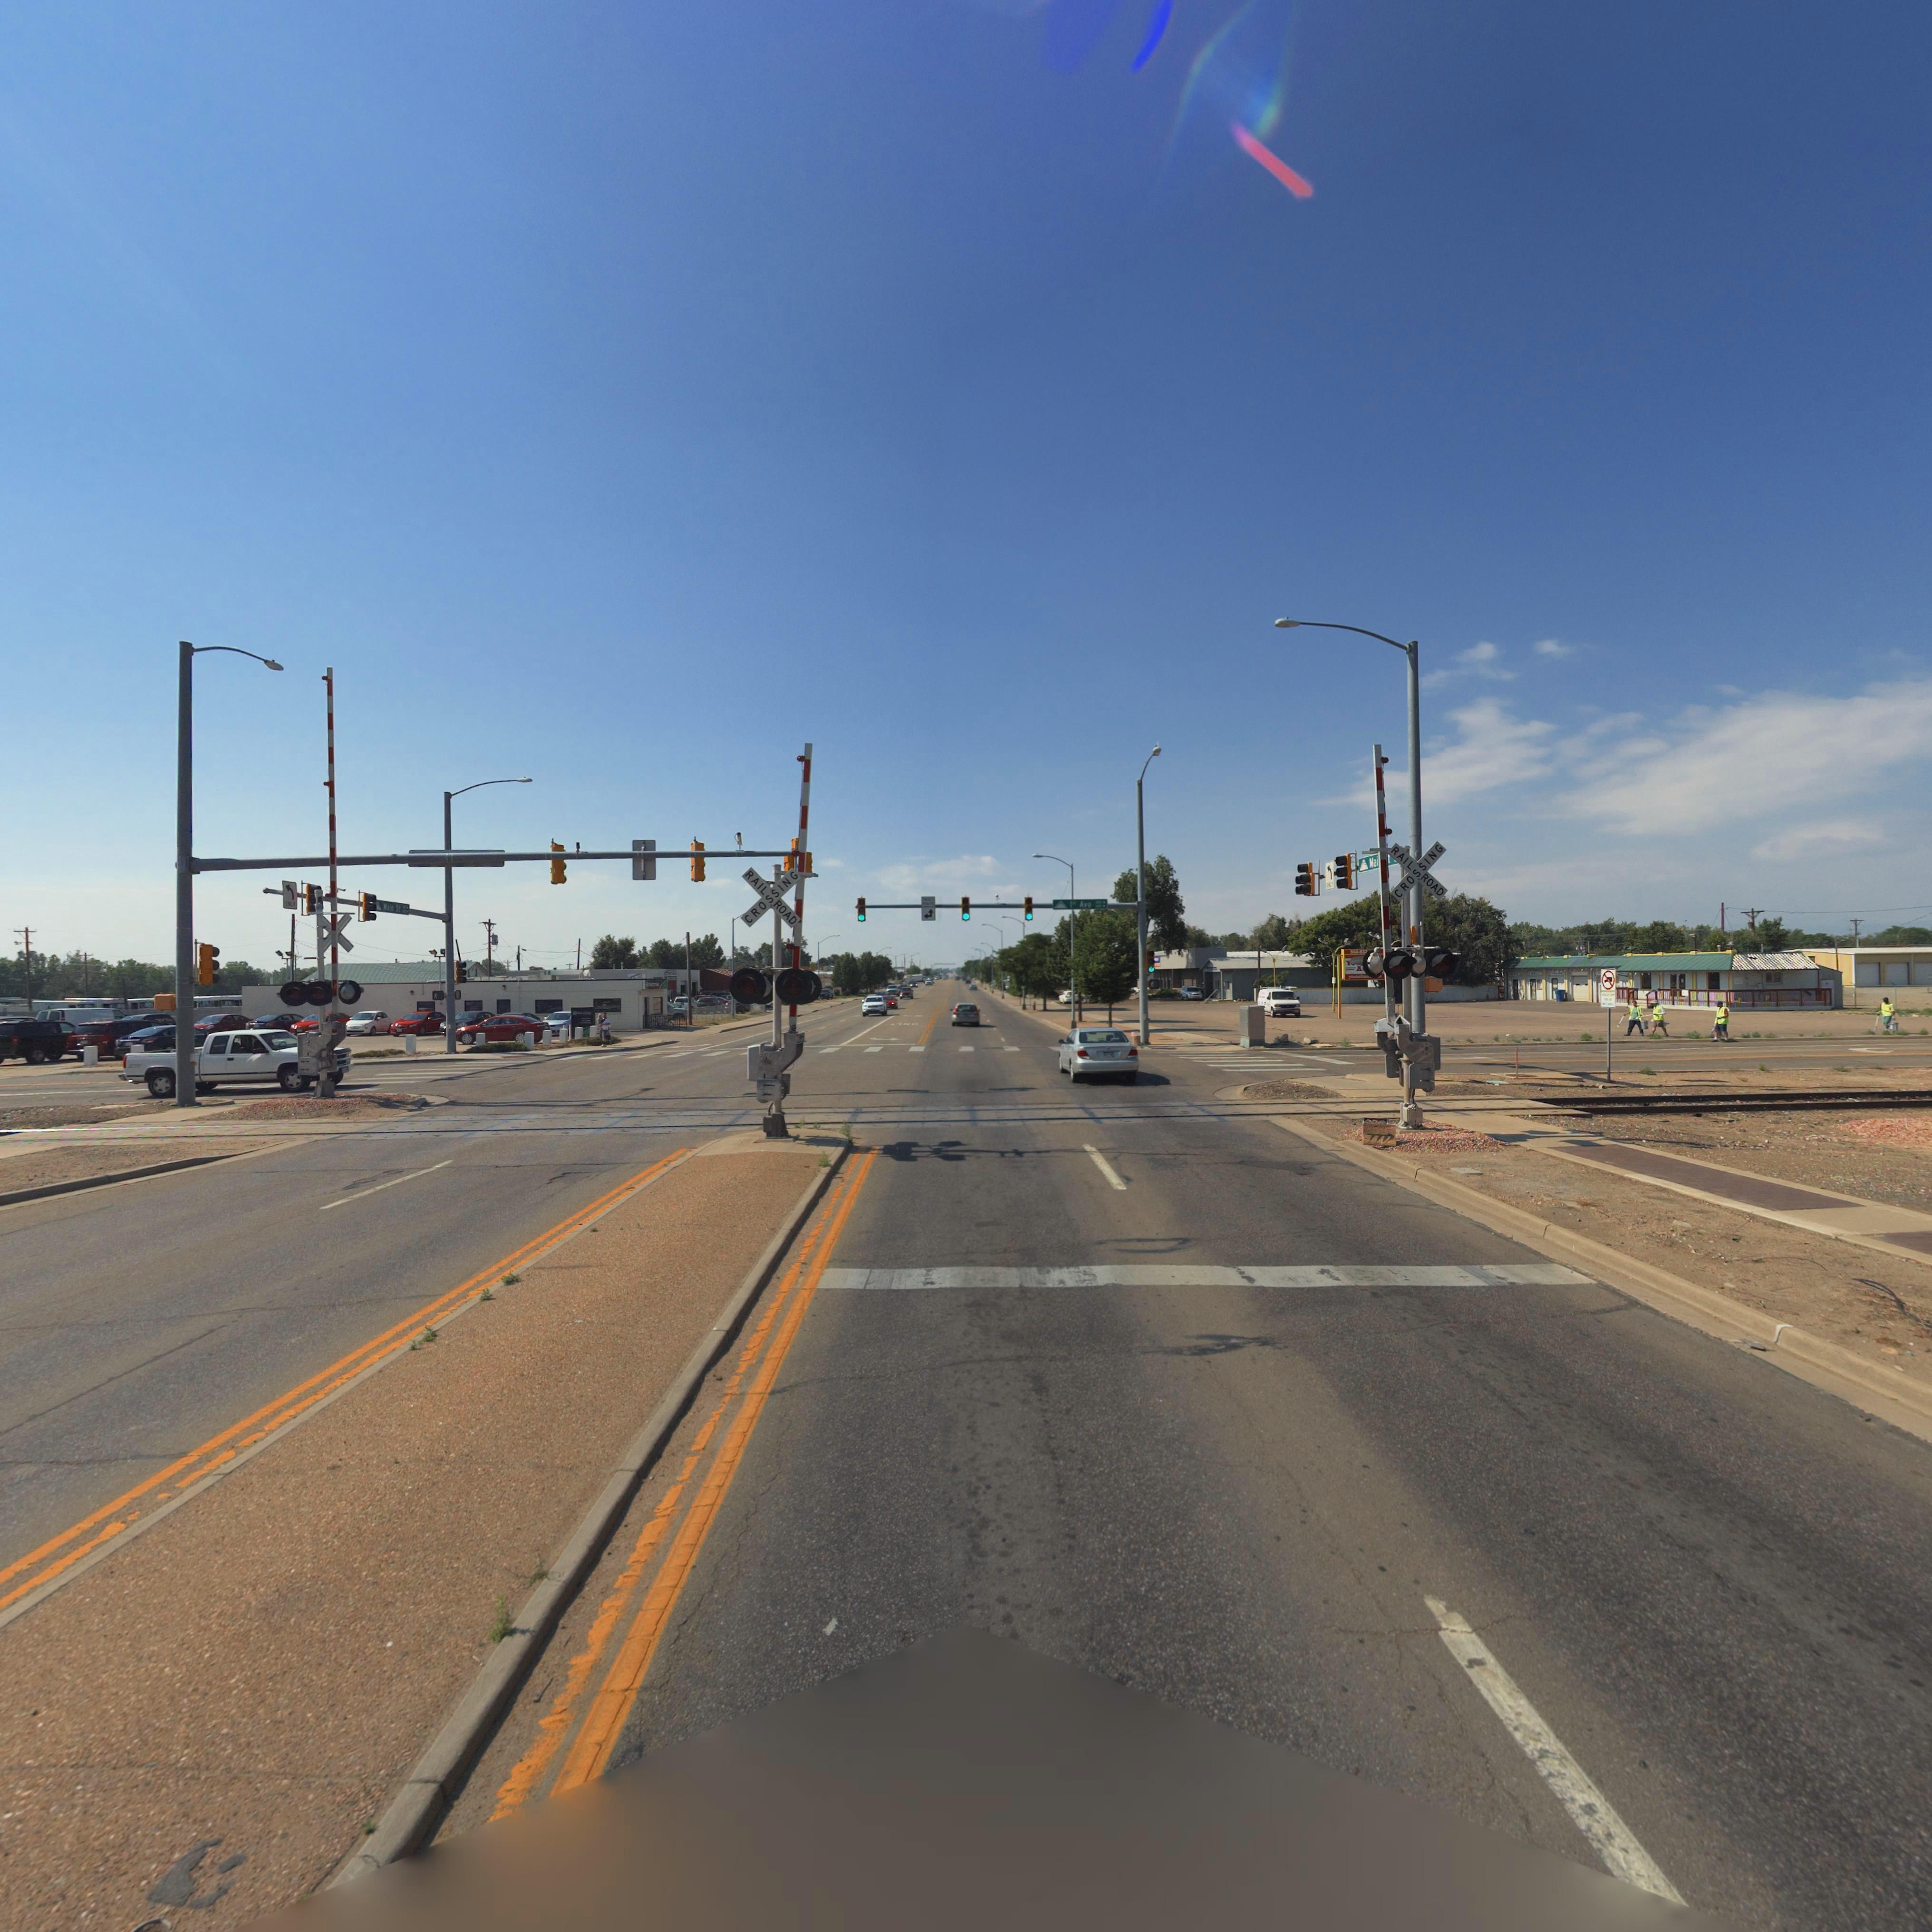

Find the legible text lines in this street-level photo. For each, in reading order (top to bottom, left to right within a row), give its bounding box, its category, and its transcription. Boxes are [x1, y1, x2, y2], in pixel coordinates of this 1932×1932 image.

[1369, 852, 1390, 868] StreetName: Mai* **
[383, 902, 401, 912] StreetName: Mai* St
[1069, 900, 1092, 908] StreetName: 1** Ave